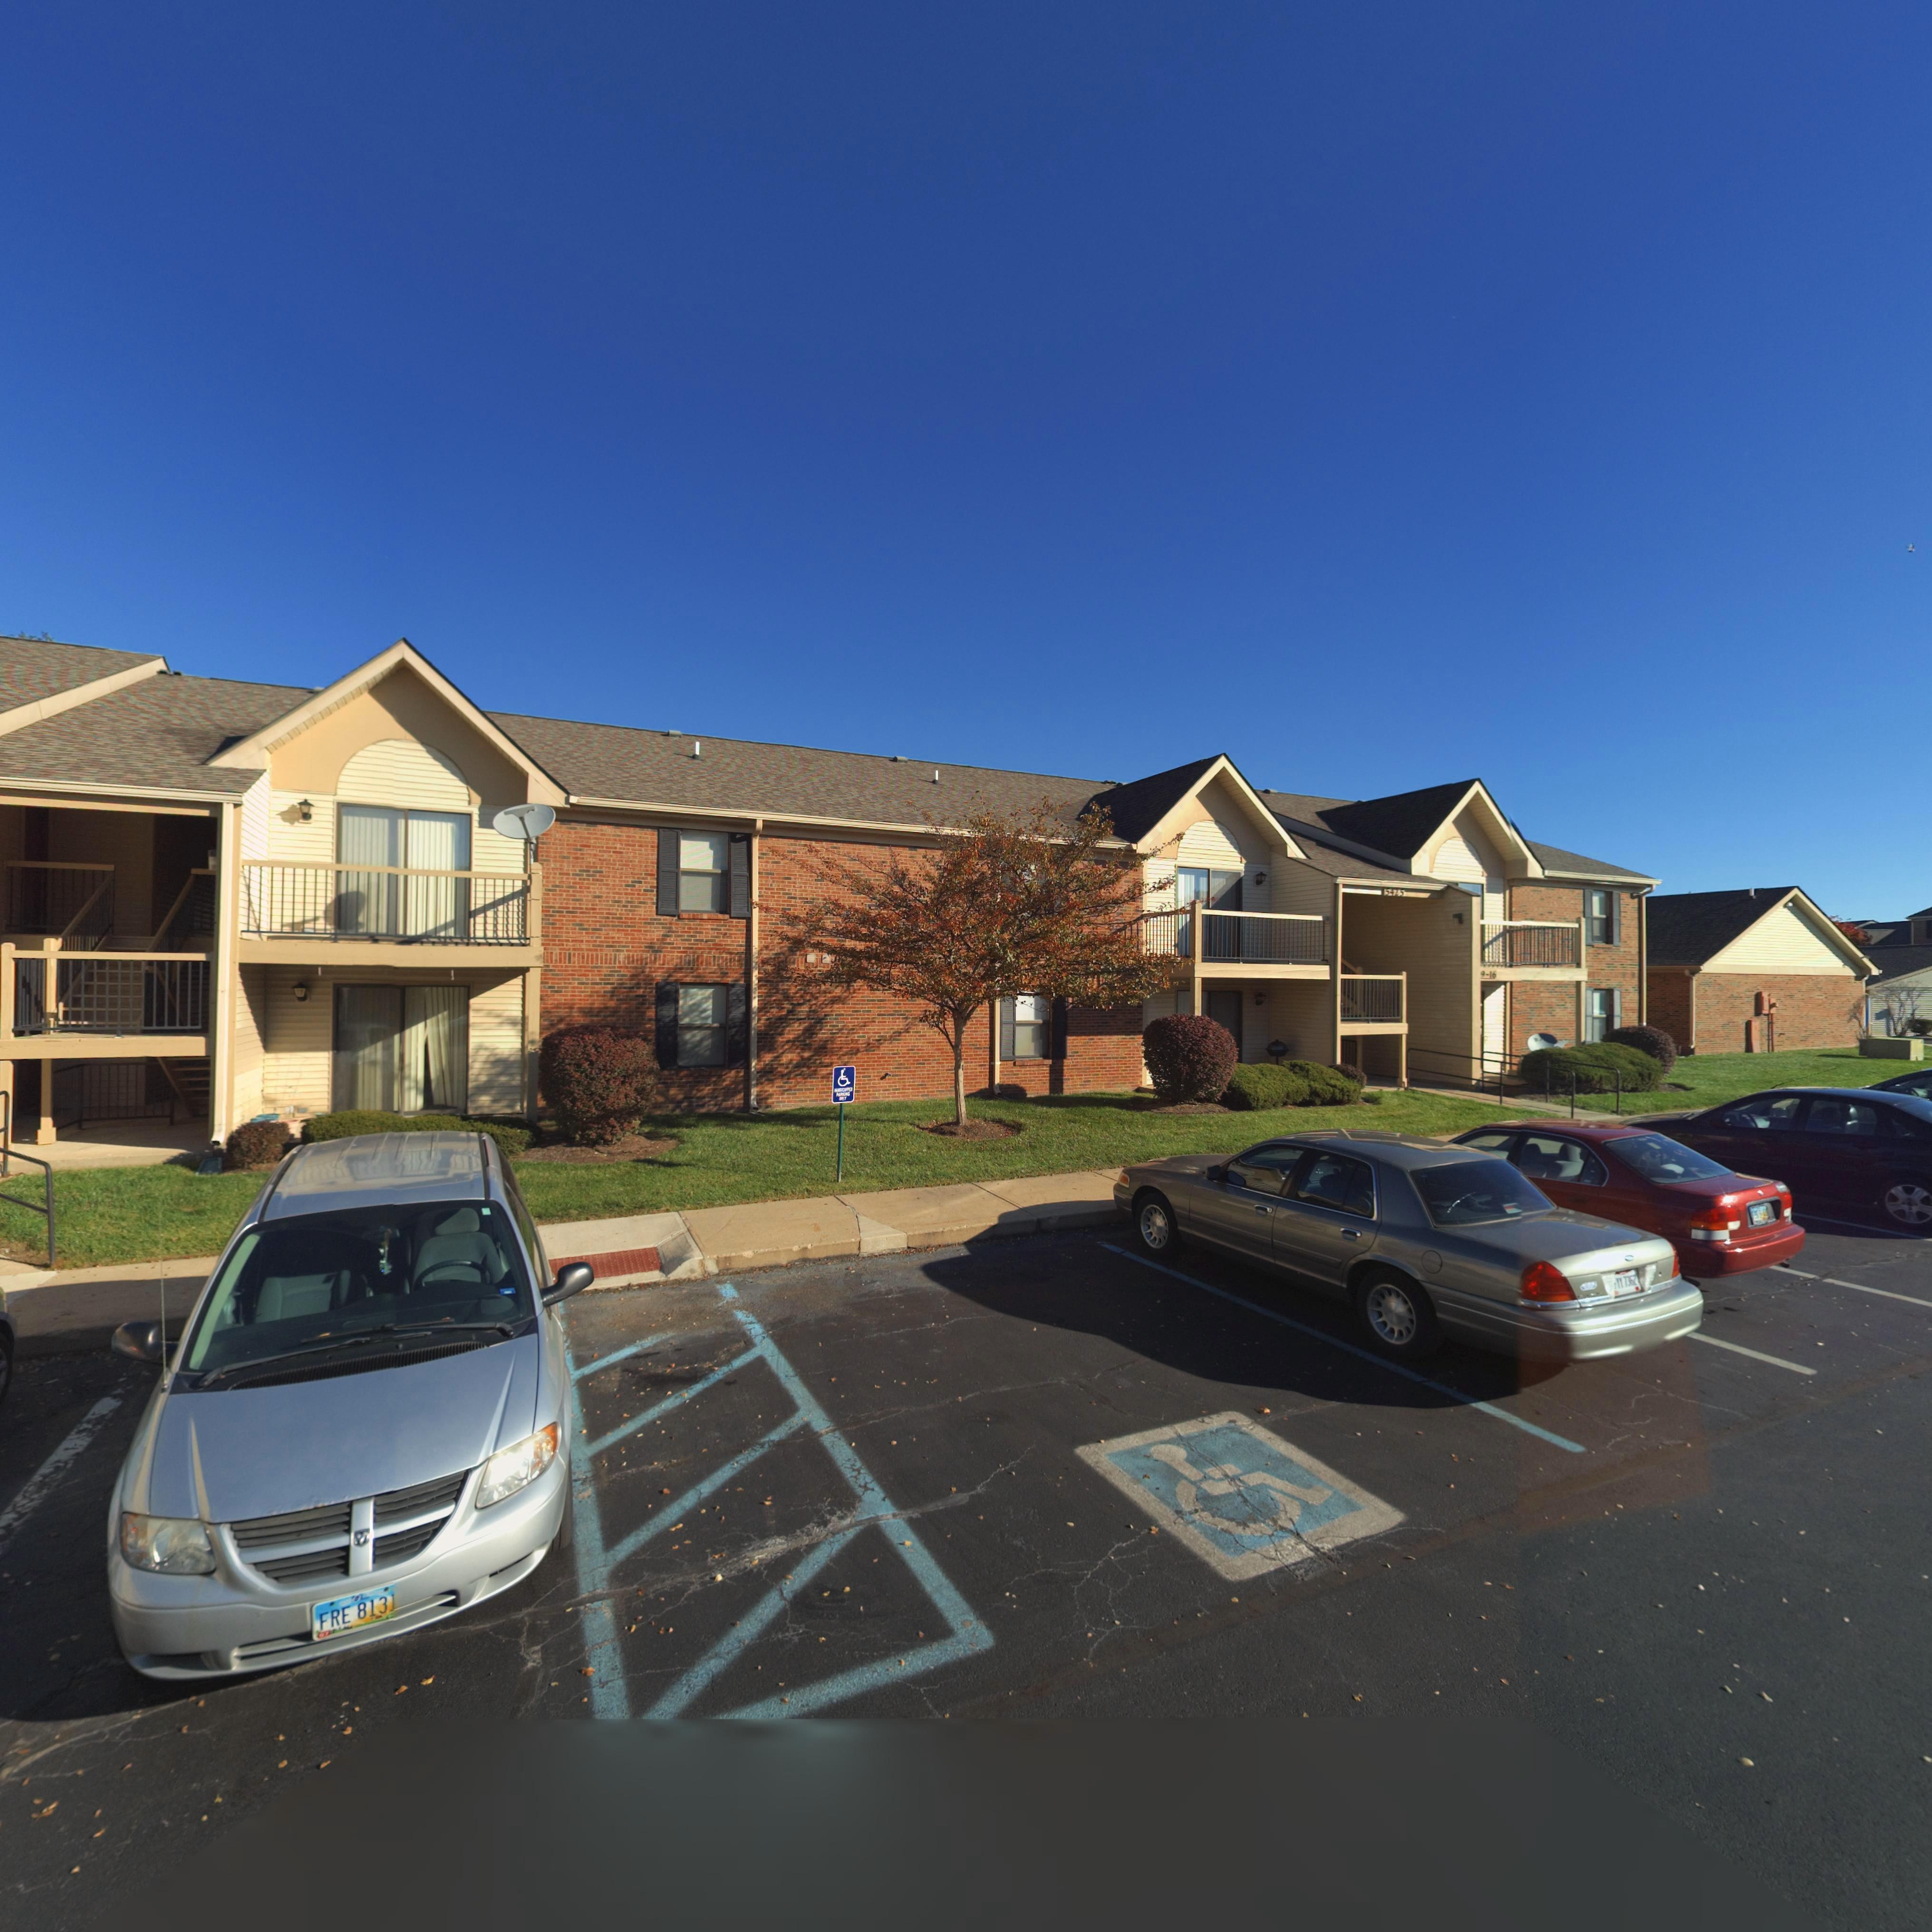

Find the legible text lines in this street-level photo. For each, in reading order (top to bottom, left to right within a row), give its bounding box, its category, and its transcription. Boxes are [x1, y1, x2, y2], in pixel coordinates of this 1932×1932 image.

[1384, 887, 1404, 897] StreetNumber: 5425
[1480, 970, 1497, 978] StreetNumber: 9-16